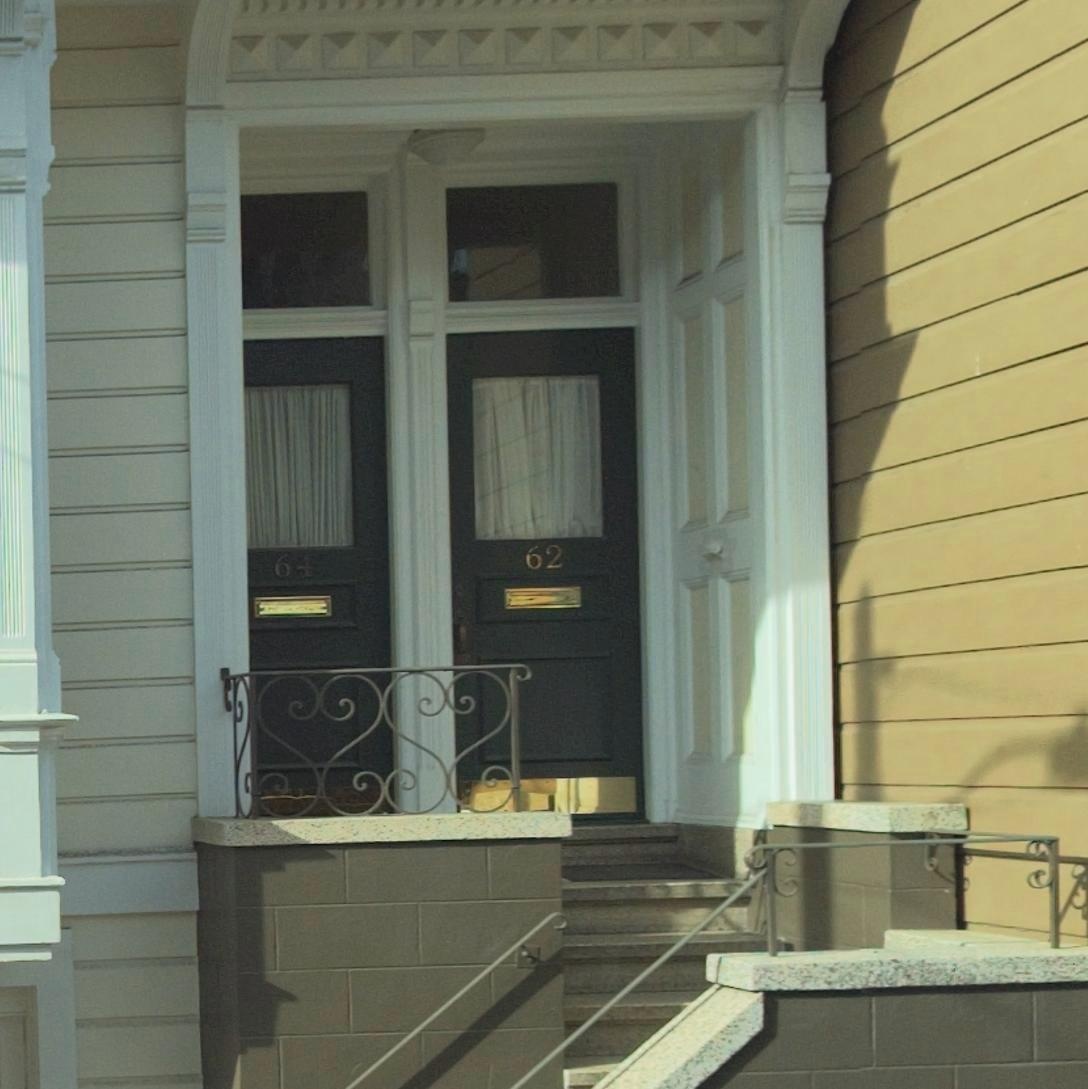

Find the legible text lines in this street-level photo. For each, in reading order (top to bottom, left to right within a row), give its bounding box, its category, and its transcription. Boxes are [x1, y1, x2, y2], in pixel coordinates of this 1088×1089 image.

[272, 550, 315, 581] StreetNumber: 64
[523, 542, 566, 572] StreetNumber: 62